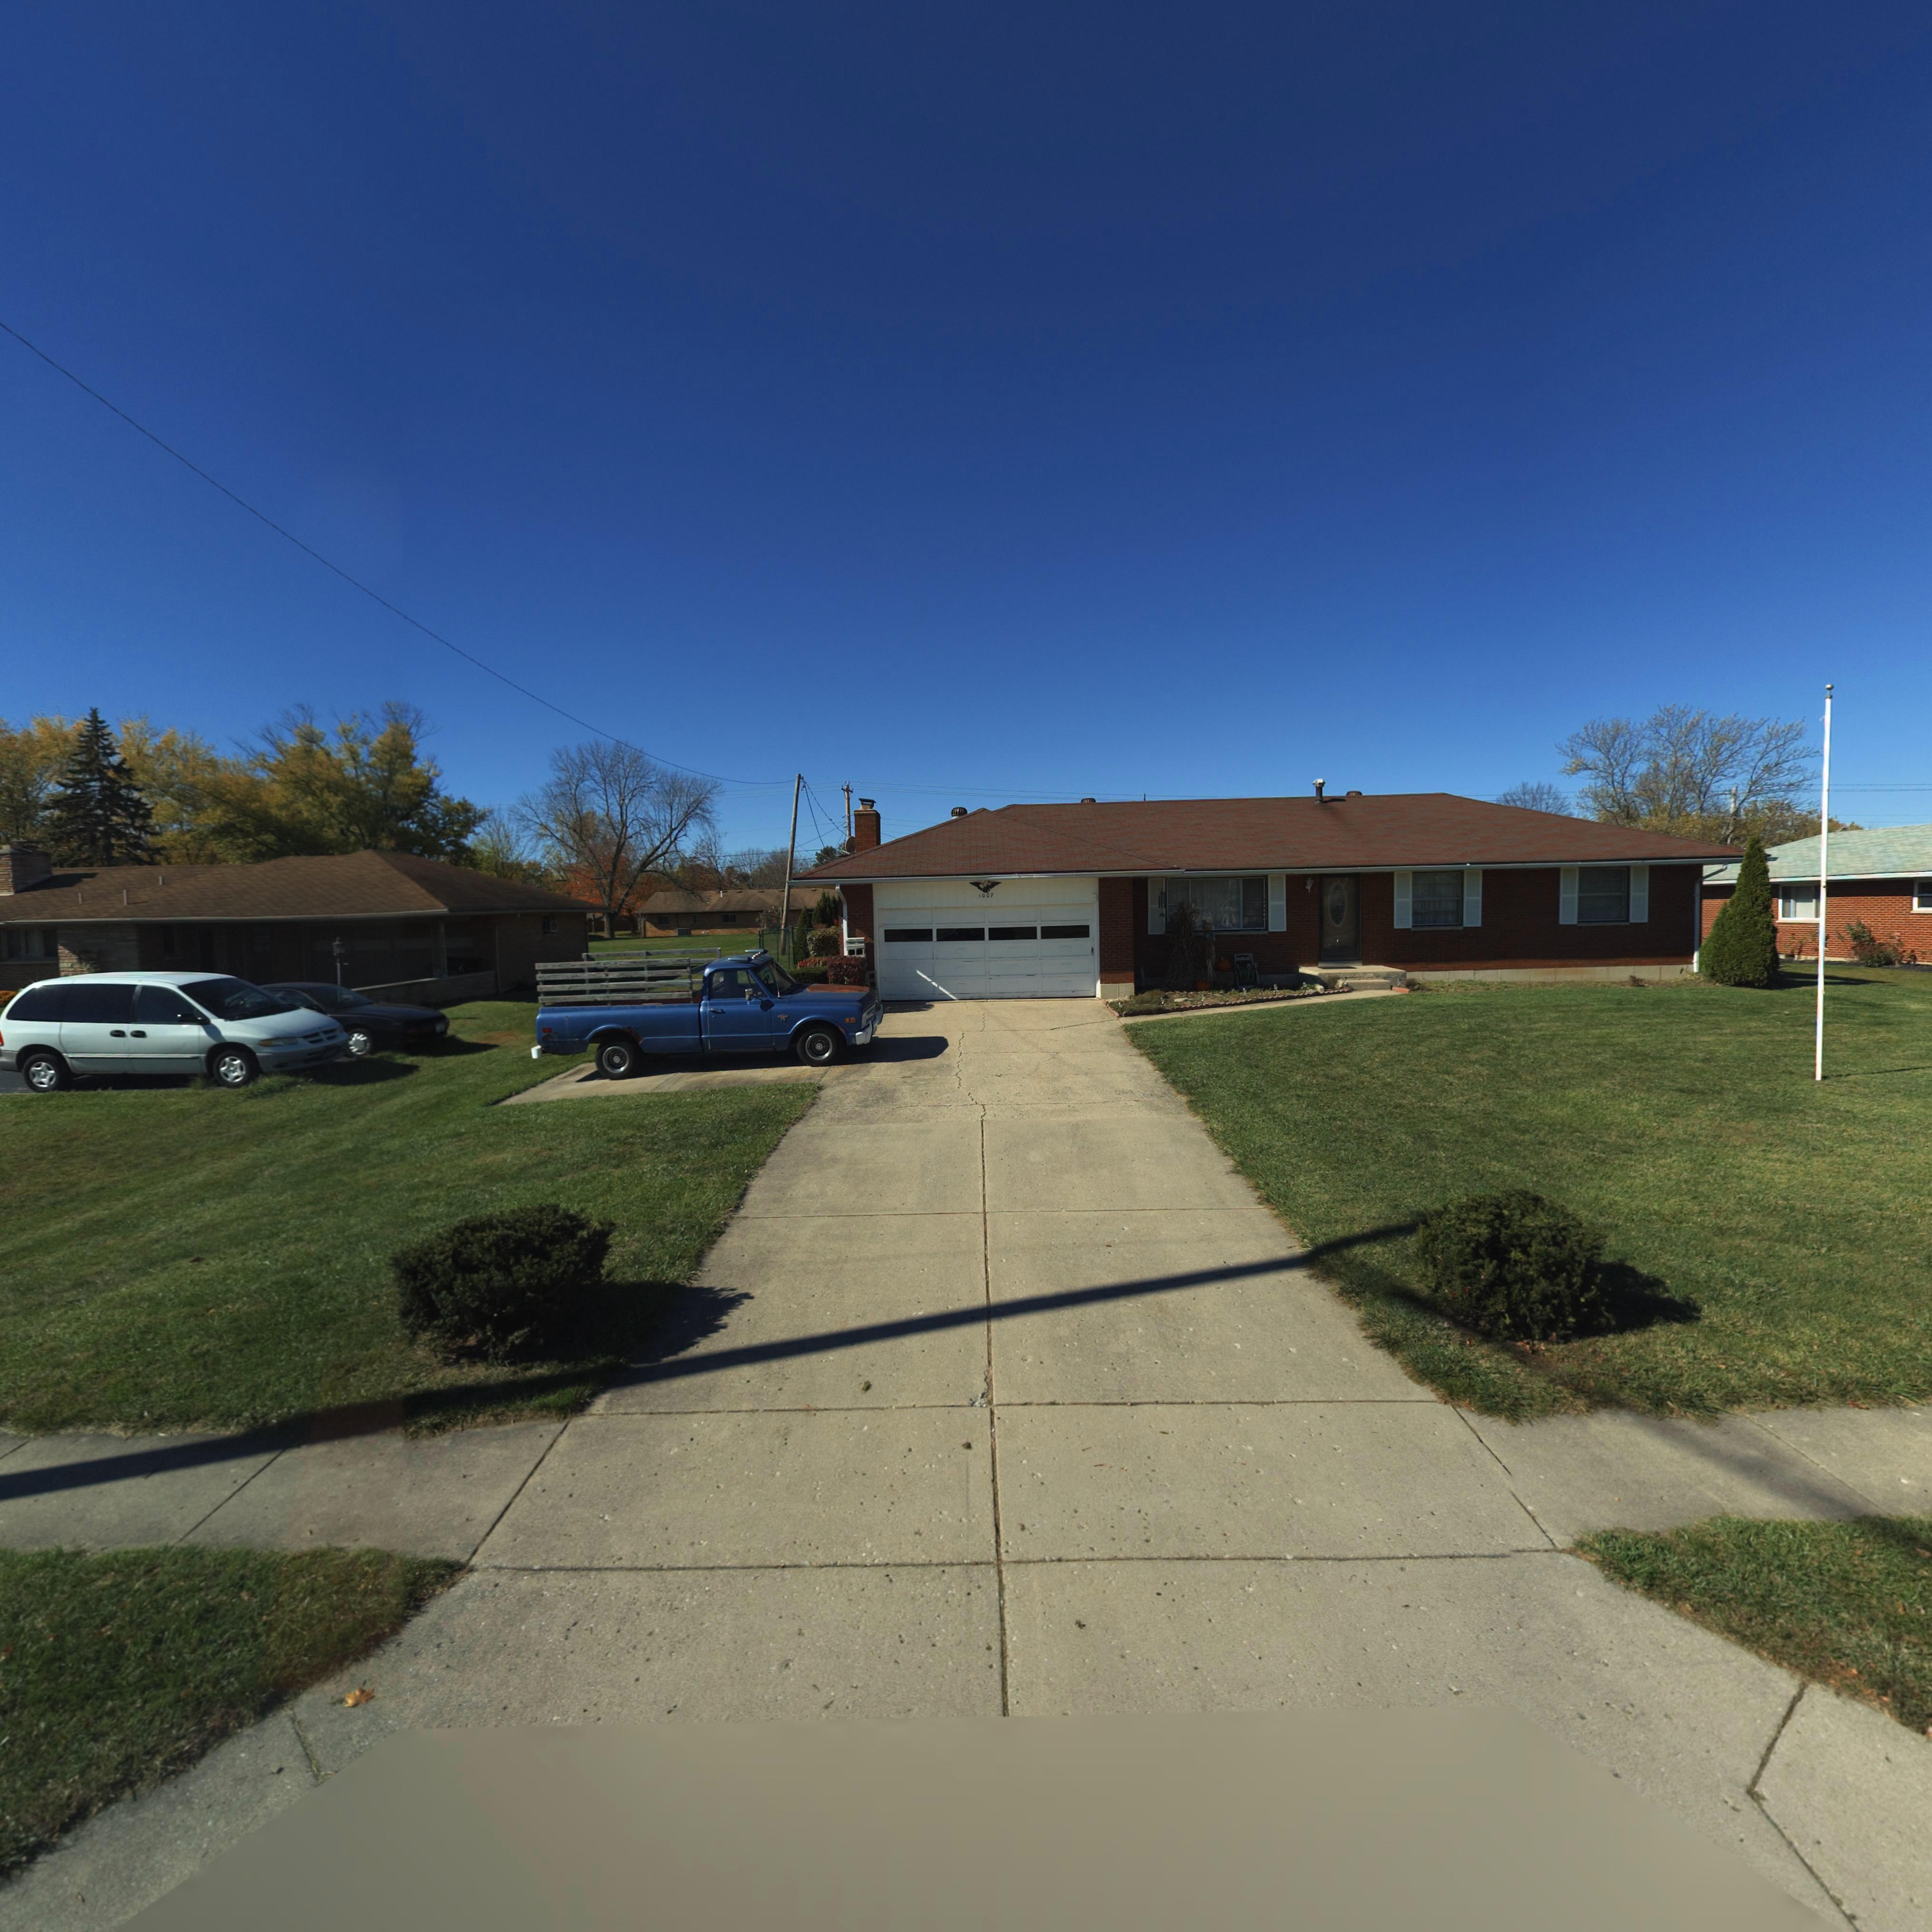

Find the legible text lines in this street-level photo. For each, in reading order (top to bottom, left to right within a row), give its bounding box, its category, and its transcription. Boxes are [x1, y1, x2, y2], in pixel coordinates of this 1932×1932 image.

[978, 892, 995, 898] StreetNumber: 1007